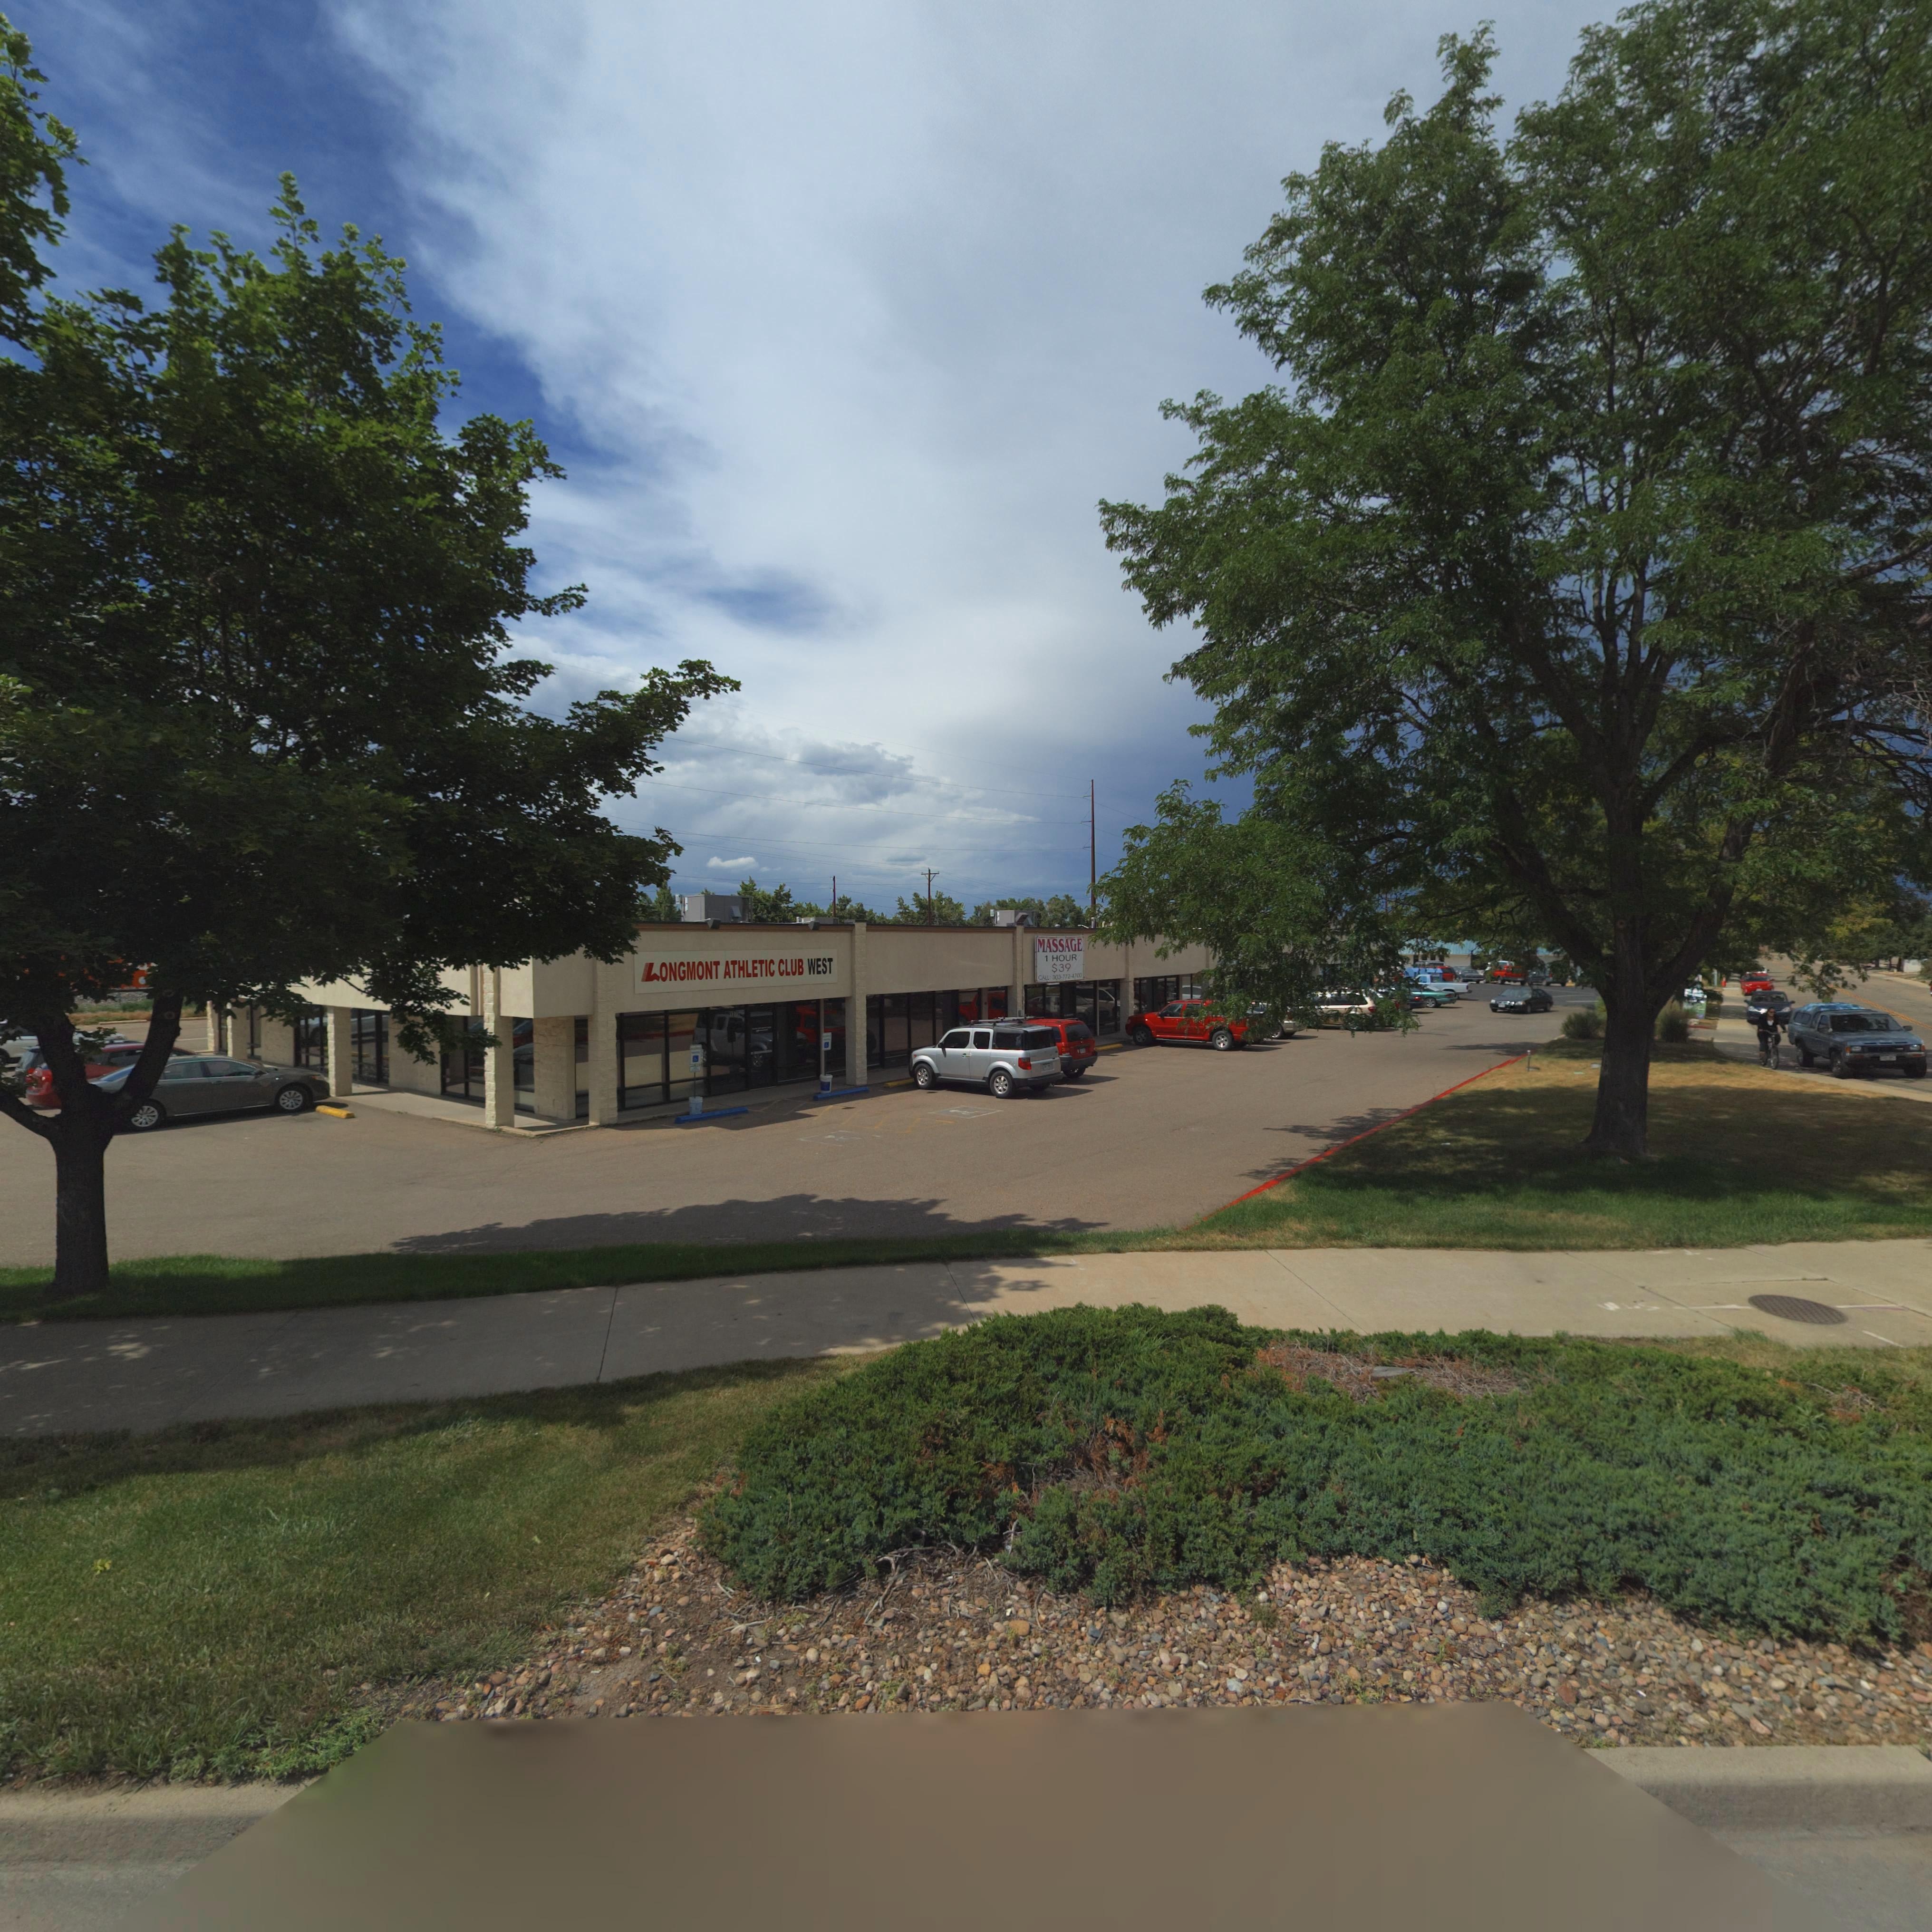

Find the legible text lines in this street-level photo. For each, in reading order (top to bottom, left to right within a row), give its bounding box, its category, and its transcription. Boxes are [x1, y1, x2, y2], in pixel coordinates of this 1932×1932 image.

[640, 957, 833, 982] BusinessName: LONGMONT ATHLETIC CLUB WEST
[729, 1010, 740, 1016] StreetNumber: 1375